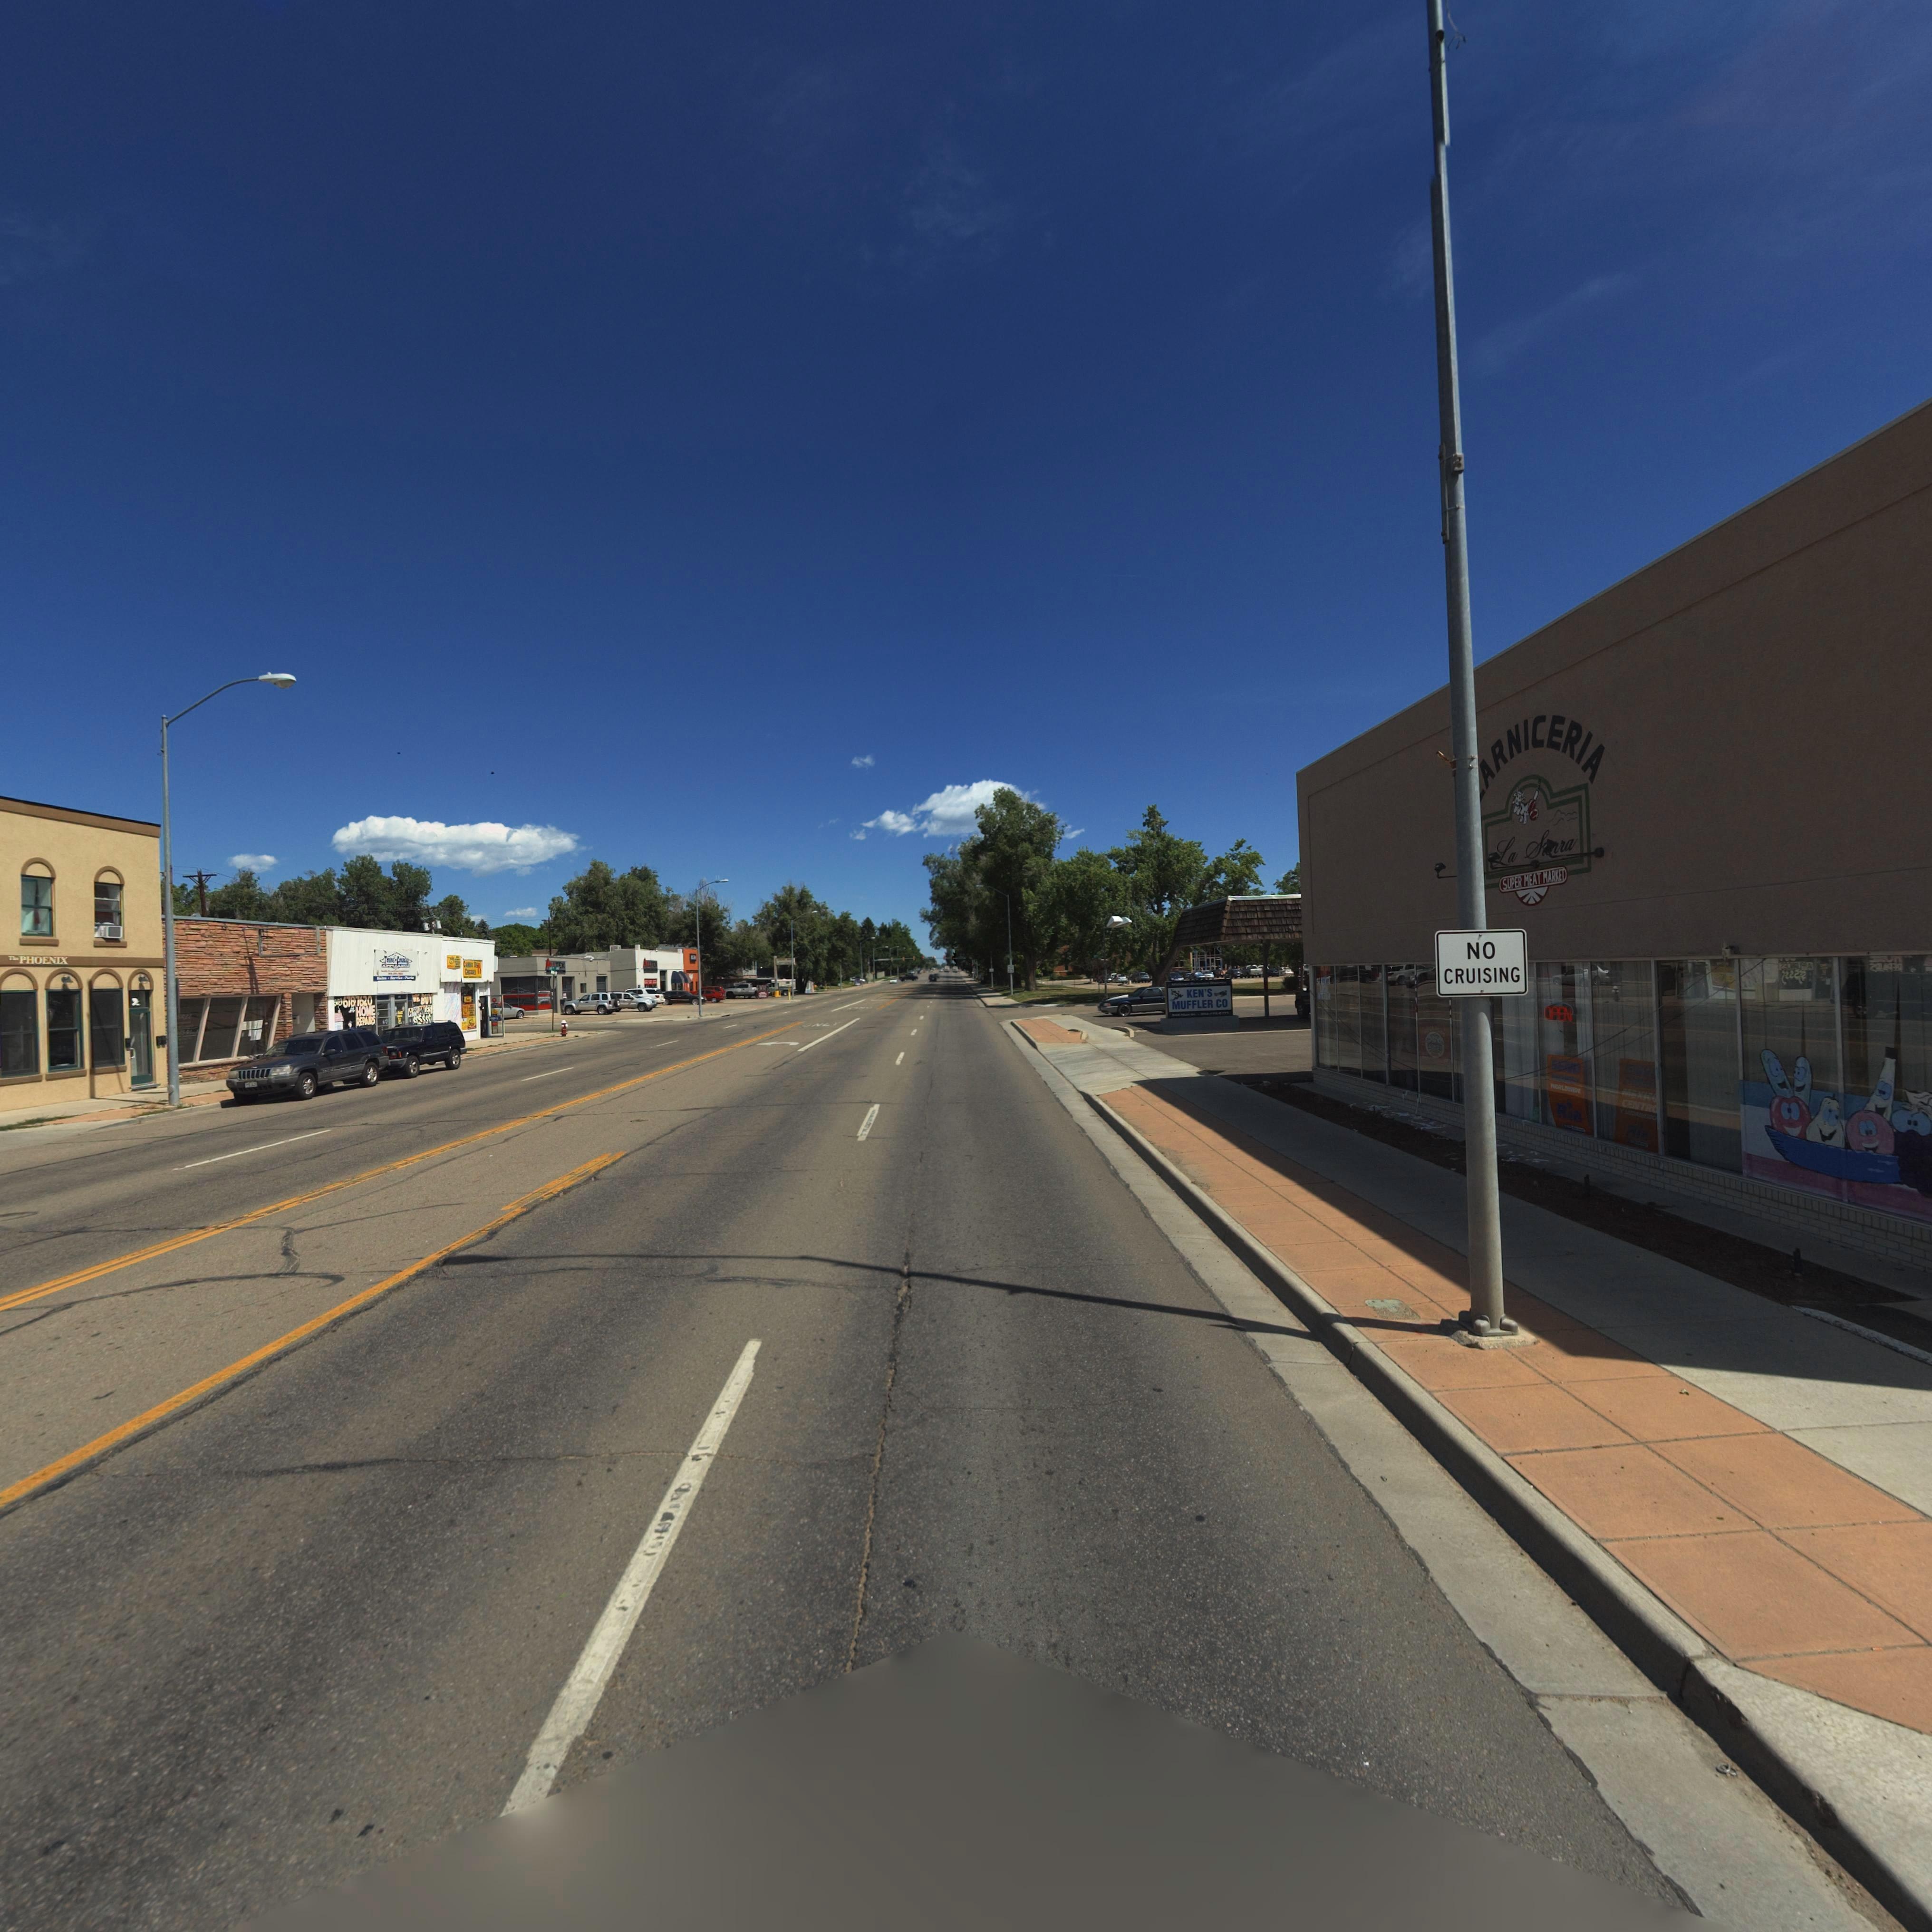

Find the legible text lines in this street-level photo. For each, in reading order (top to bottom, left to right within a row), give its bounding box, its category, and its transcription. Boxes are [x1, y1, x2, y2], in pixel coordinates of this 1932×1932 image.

[1478, 714, 1605, 790] BusinessName: ARNICERIA
[1489, 828, 1578, 867] BusinessName: La S***ra
[8, 955, 68, 964] BusinessName: The PHOENIX
[384, 955, 408, 966] None: T**** ****y
[555, 962, 565, 968] BusinessName: TEX
[1186, 988, 1212, 998] BusinessName: KEN'S
[1172, 998, 1227, 1009] BusinessName: MUFFLER CO